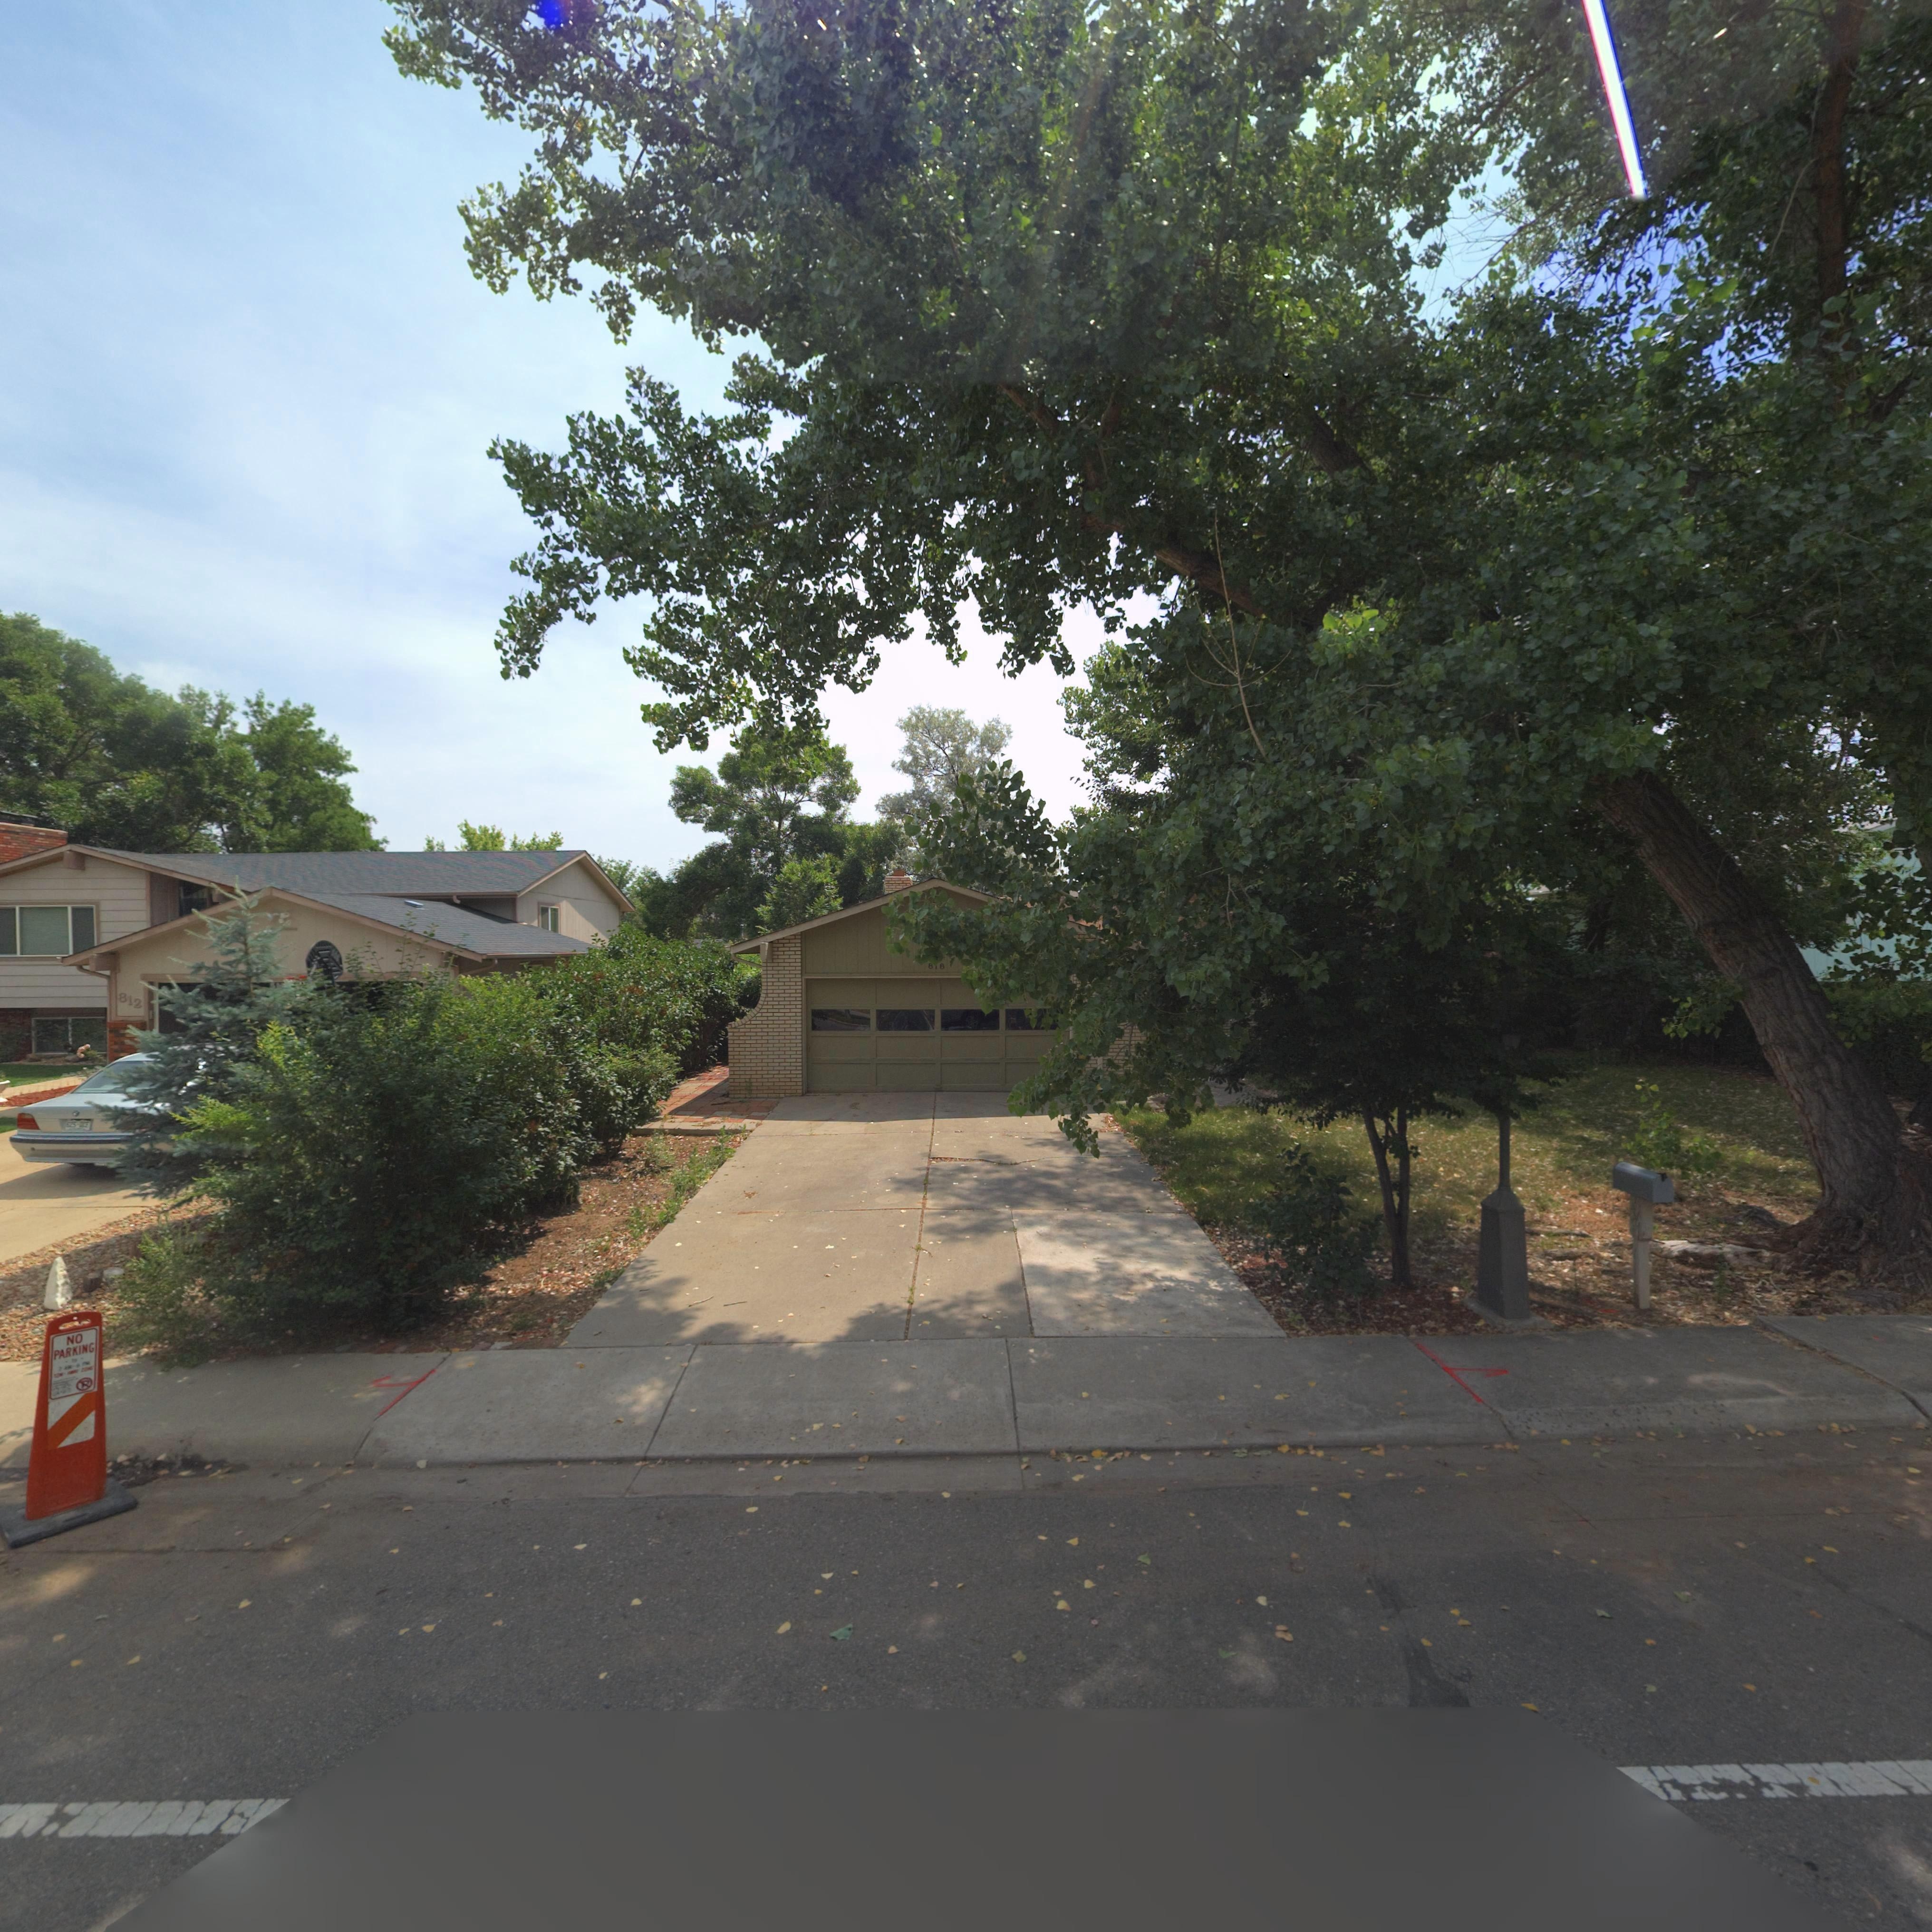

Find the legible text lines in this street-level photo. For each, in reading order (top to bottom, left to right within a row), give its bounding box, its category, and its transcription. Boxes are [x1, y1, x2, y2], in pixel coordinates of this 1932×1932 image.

[928, 962, 945, 969] StreetNumber: 818
[118, 993, 142, 1008] StreetNumber: 812